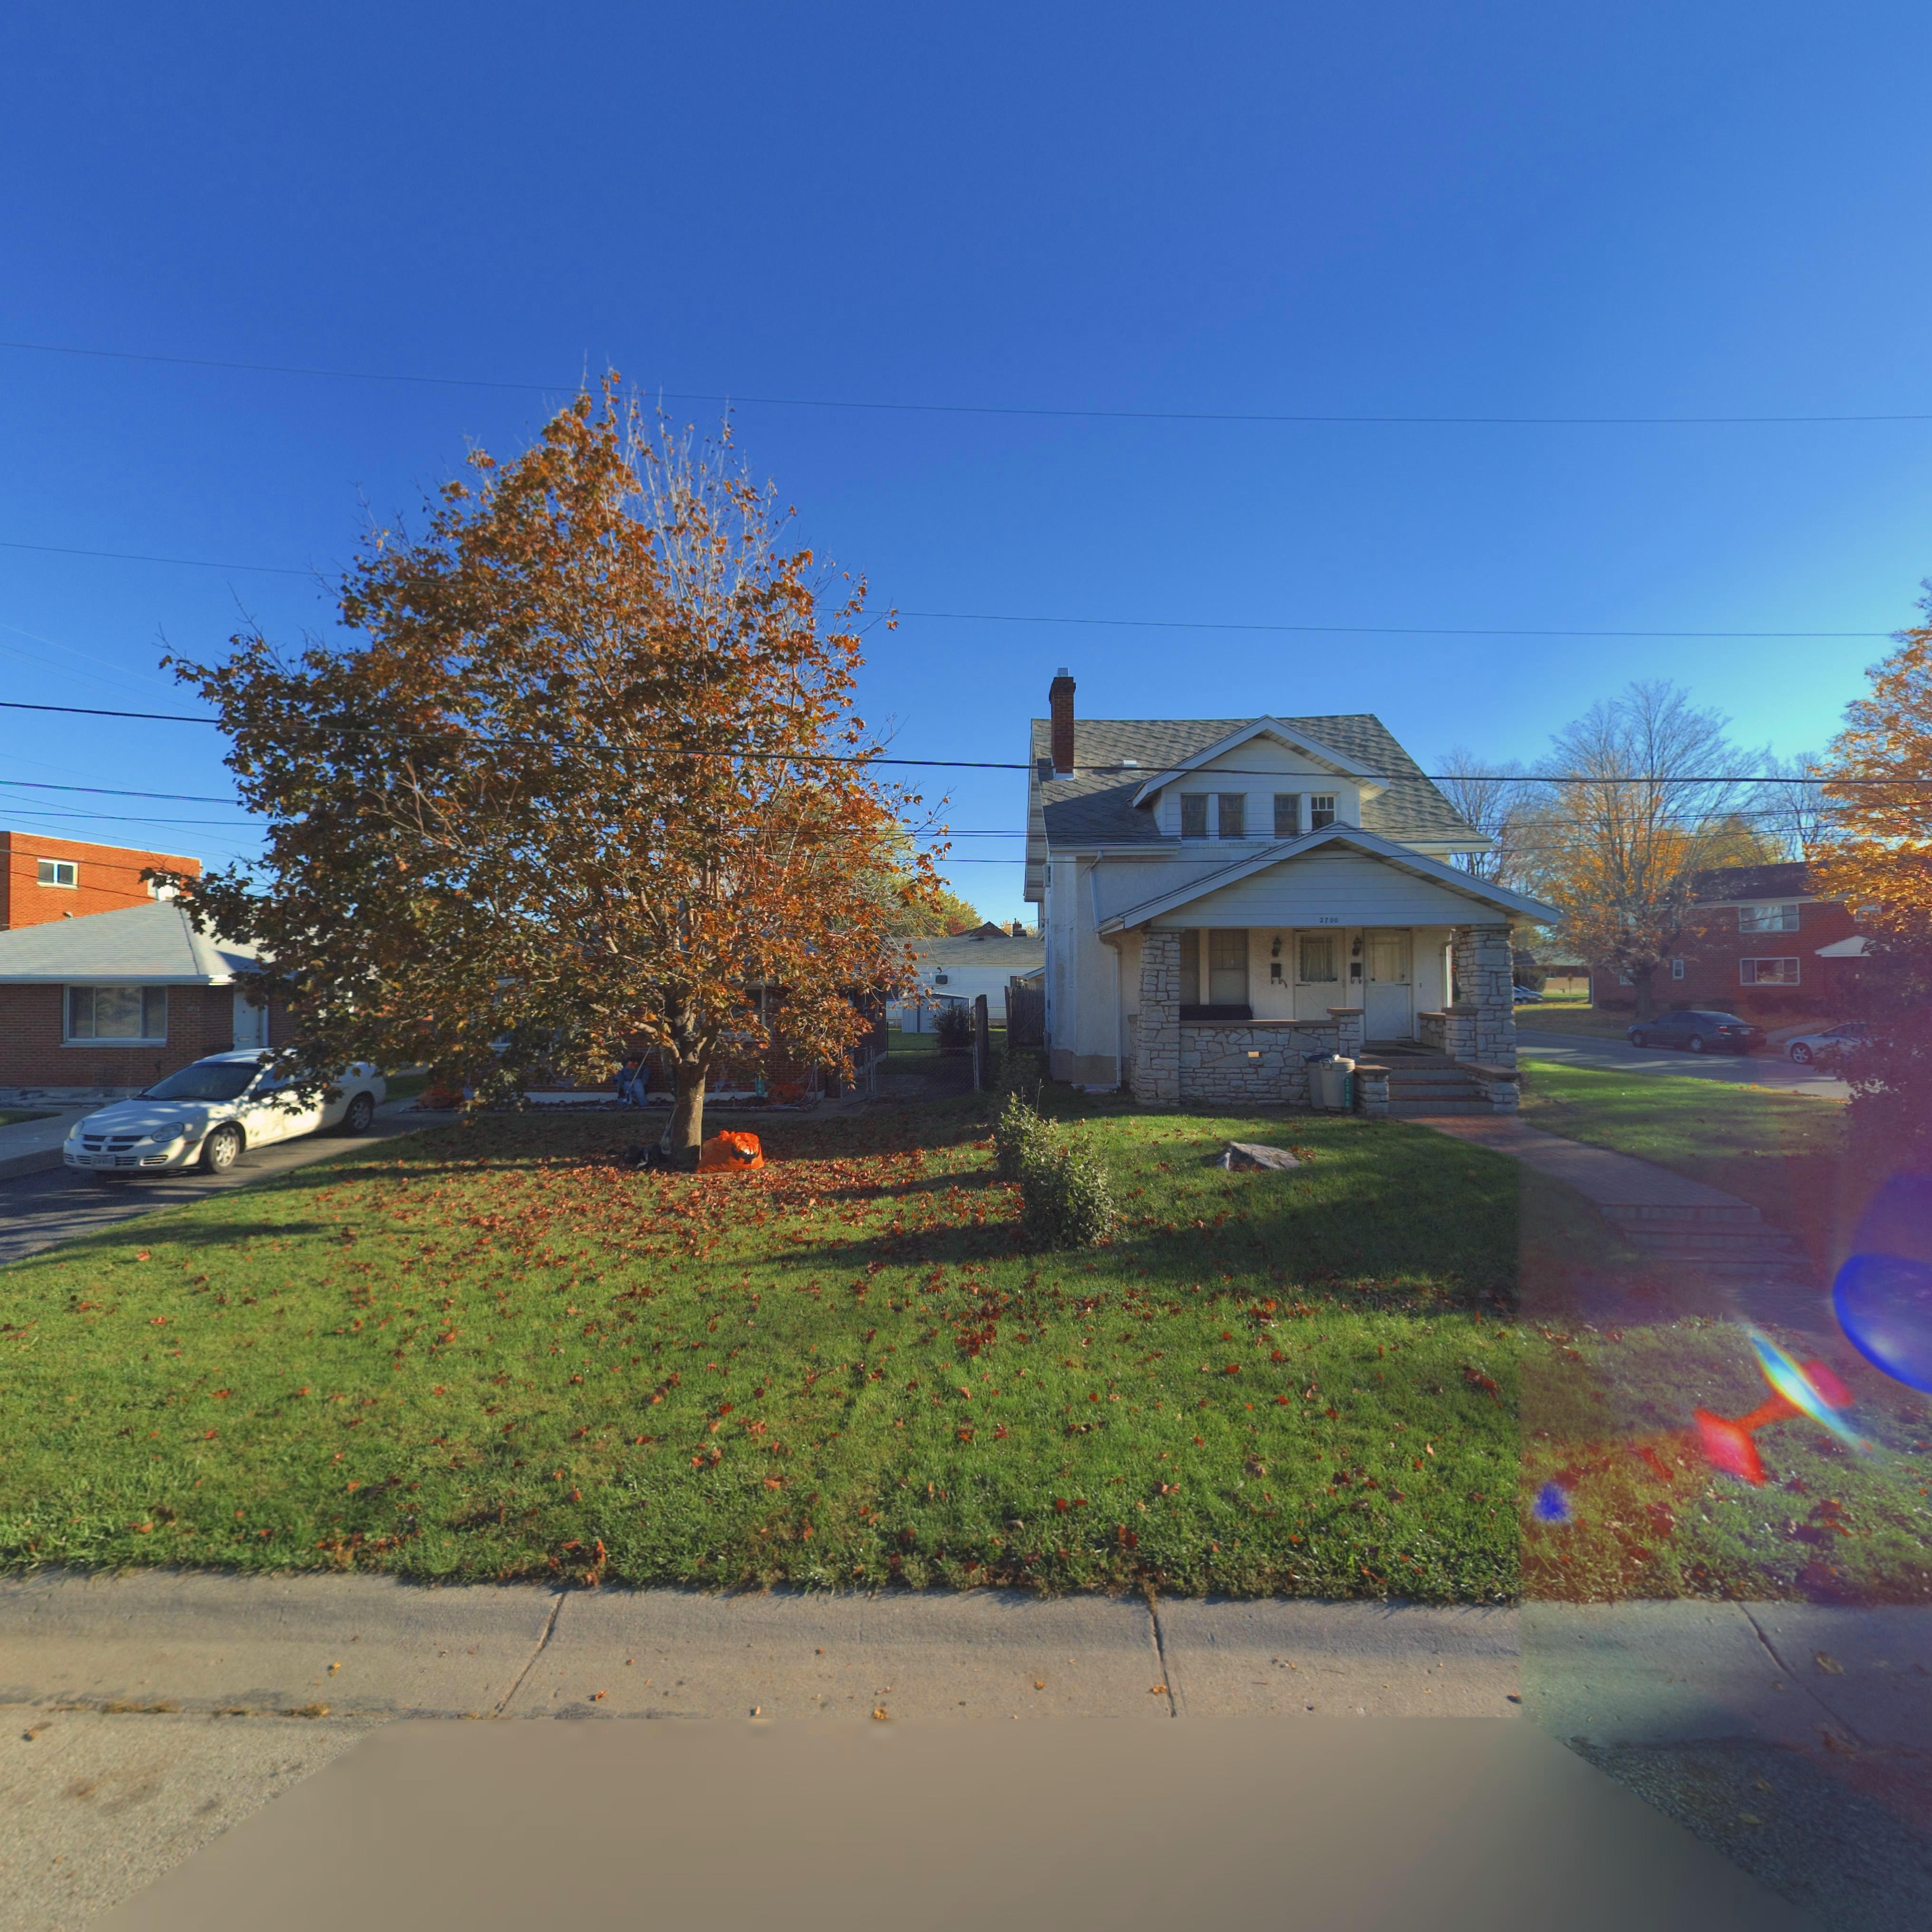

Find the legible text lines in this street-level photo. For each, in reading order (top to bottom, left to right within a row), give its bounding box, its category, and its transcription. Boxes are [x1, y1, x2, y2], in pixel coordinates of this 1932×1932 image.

[1319, 917, 1339, 924] StreetNumber: 2700